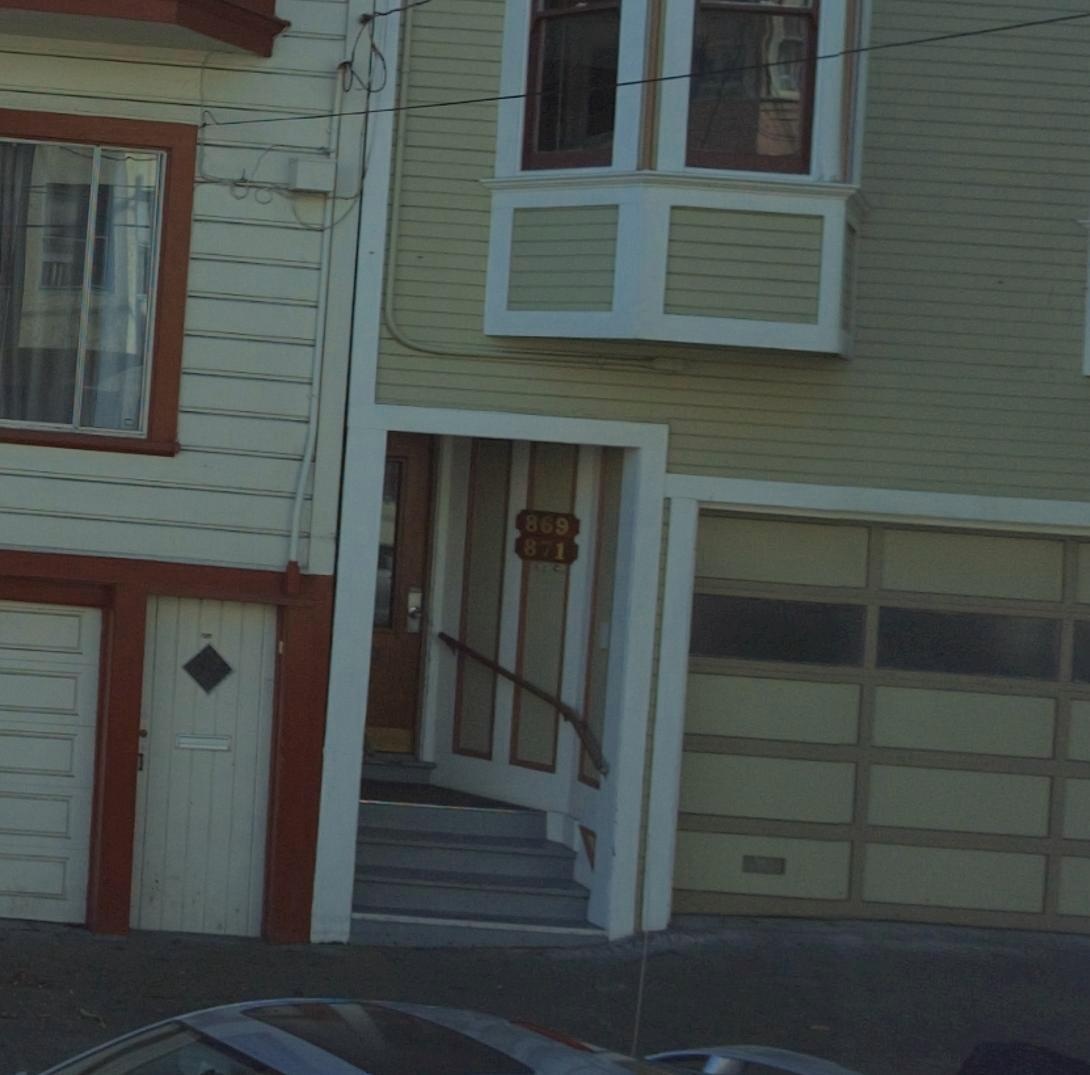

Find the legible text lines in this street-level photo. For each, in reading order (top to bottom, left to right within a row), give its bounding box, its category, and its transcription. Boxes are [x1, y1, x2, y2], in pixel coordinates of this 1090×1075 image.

[523, 512, 571, 537] StreetNumber: 869
[522, 536, 567, 562] StreetNumber: 871